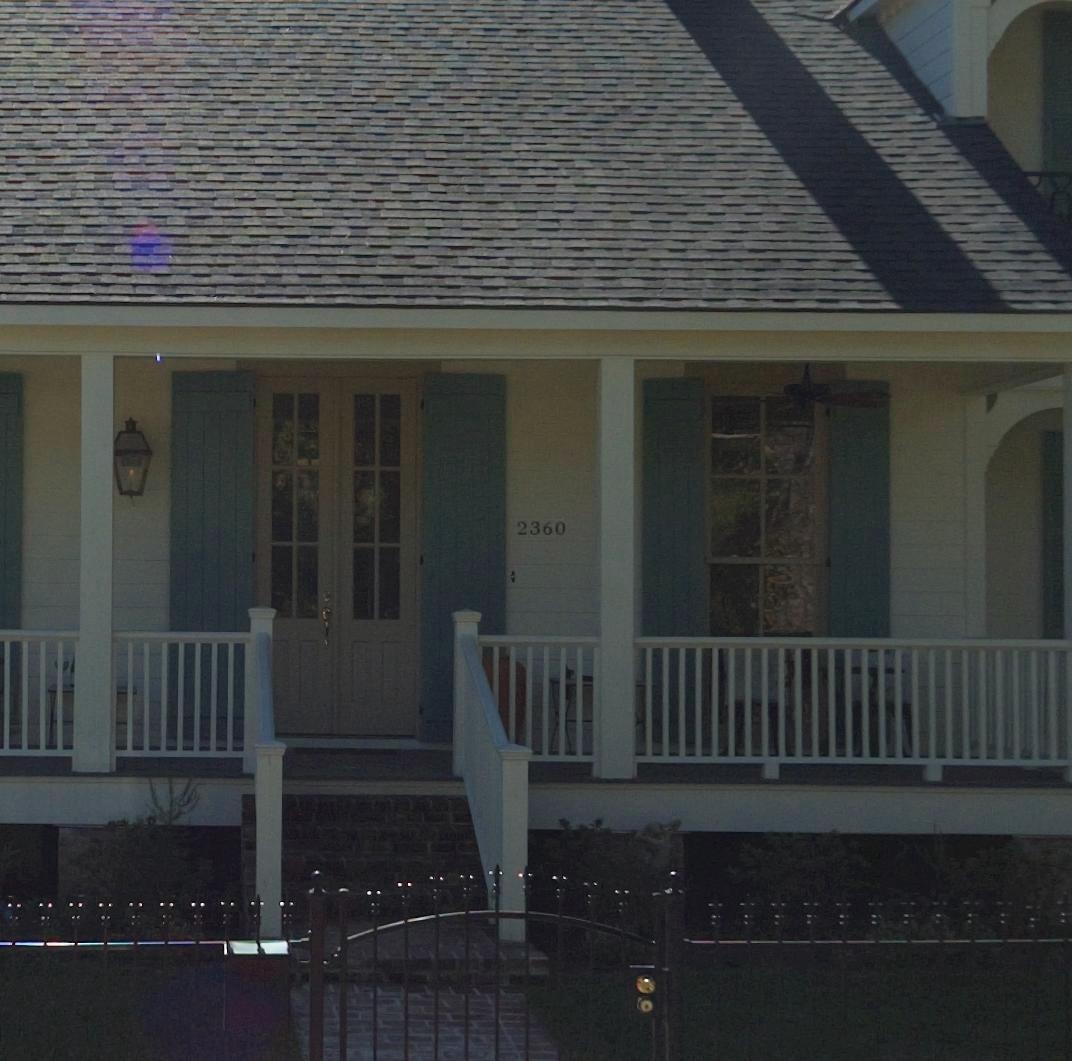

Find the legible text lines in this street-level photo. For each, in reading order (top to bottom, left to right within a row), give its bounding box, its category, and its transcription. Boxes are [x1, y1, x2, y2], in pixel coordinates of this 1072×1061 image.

[515, 519, 567, 538] StreetNumber: 2360